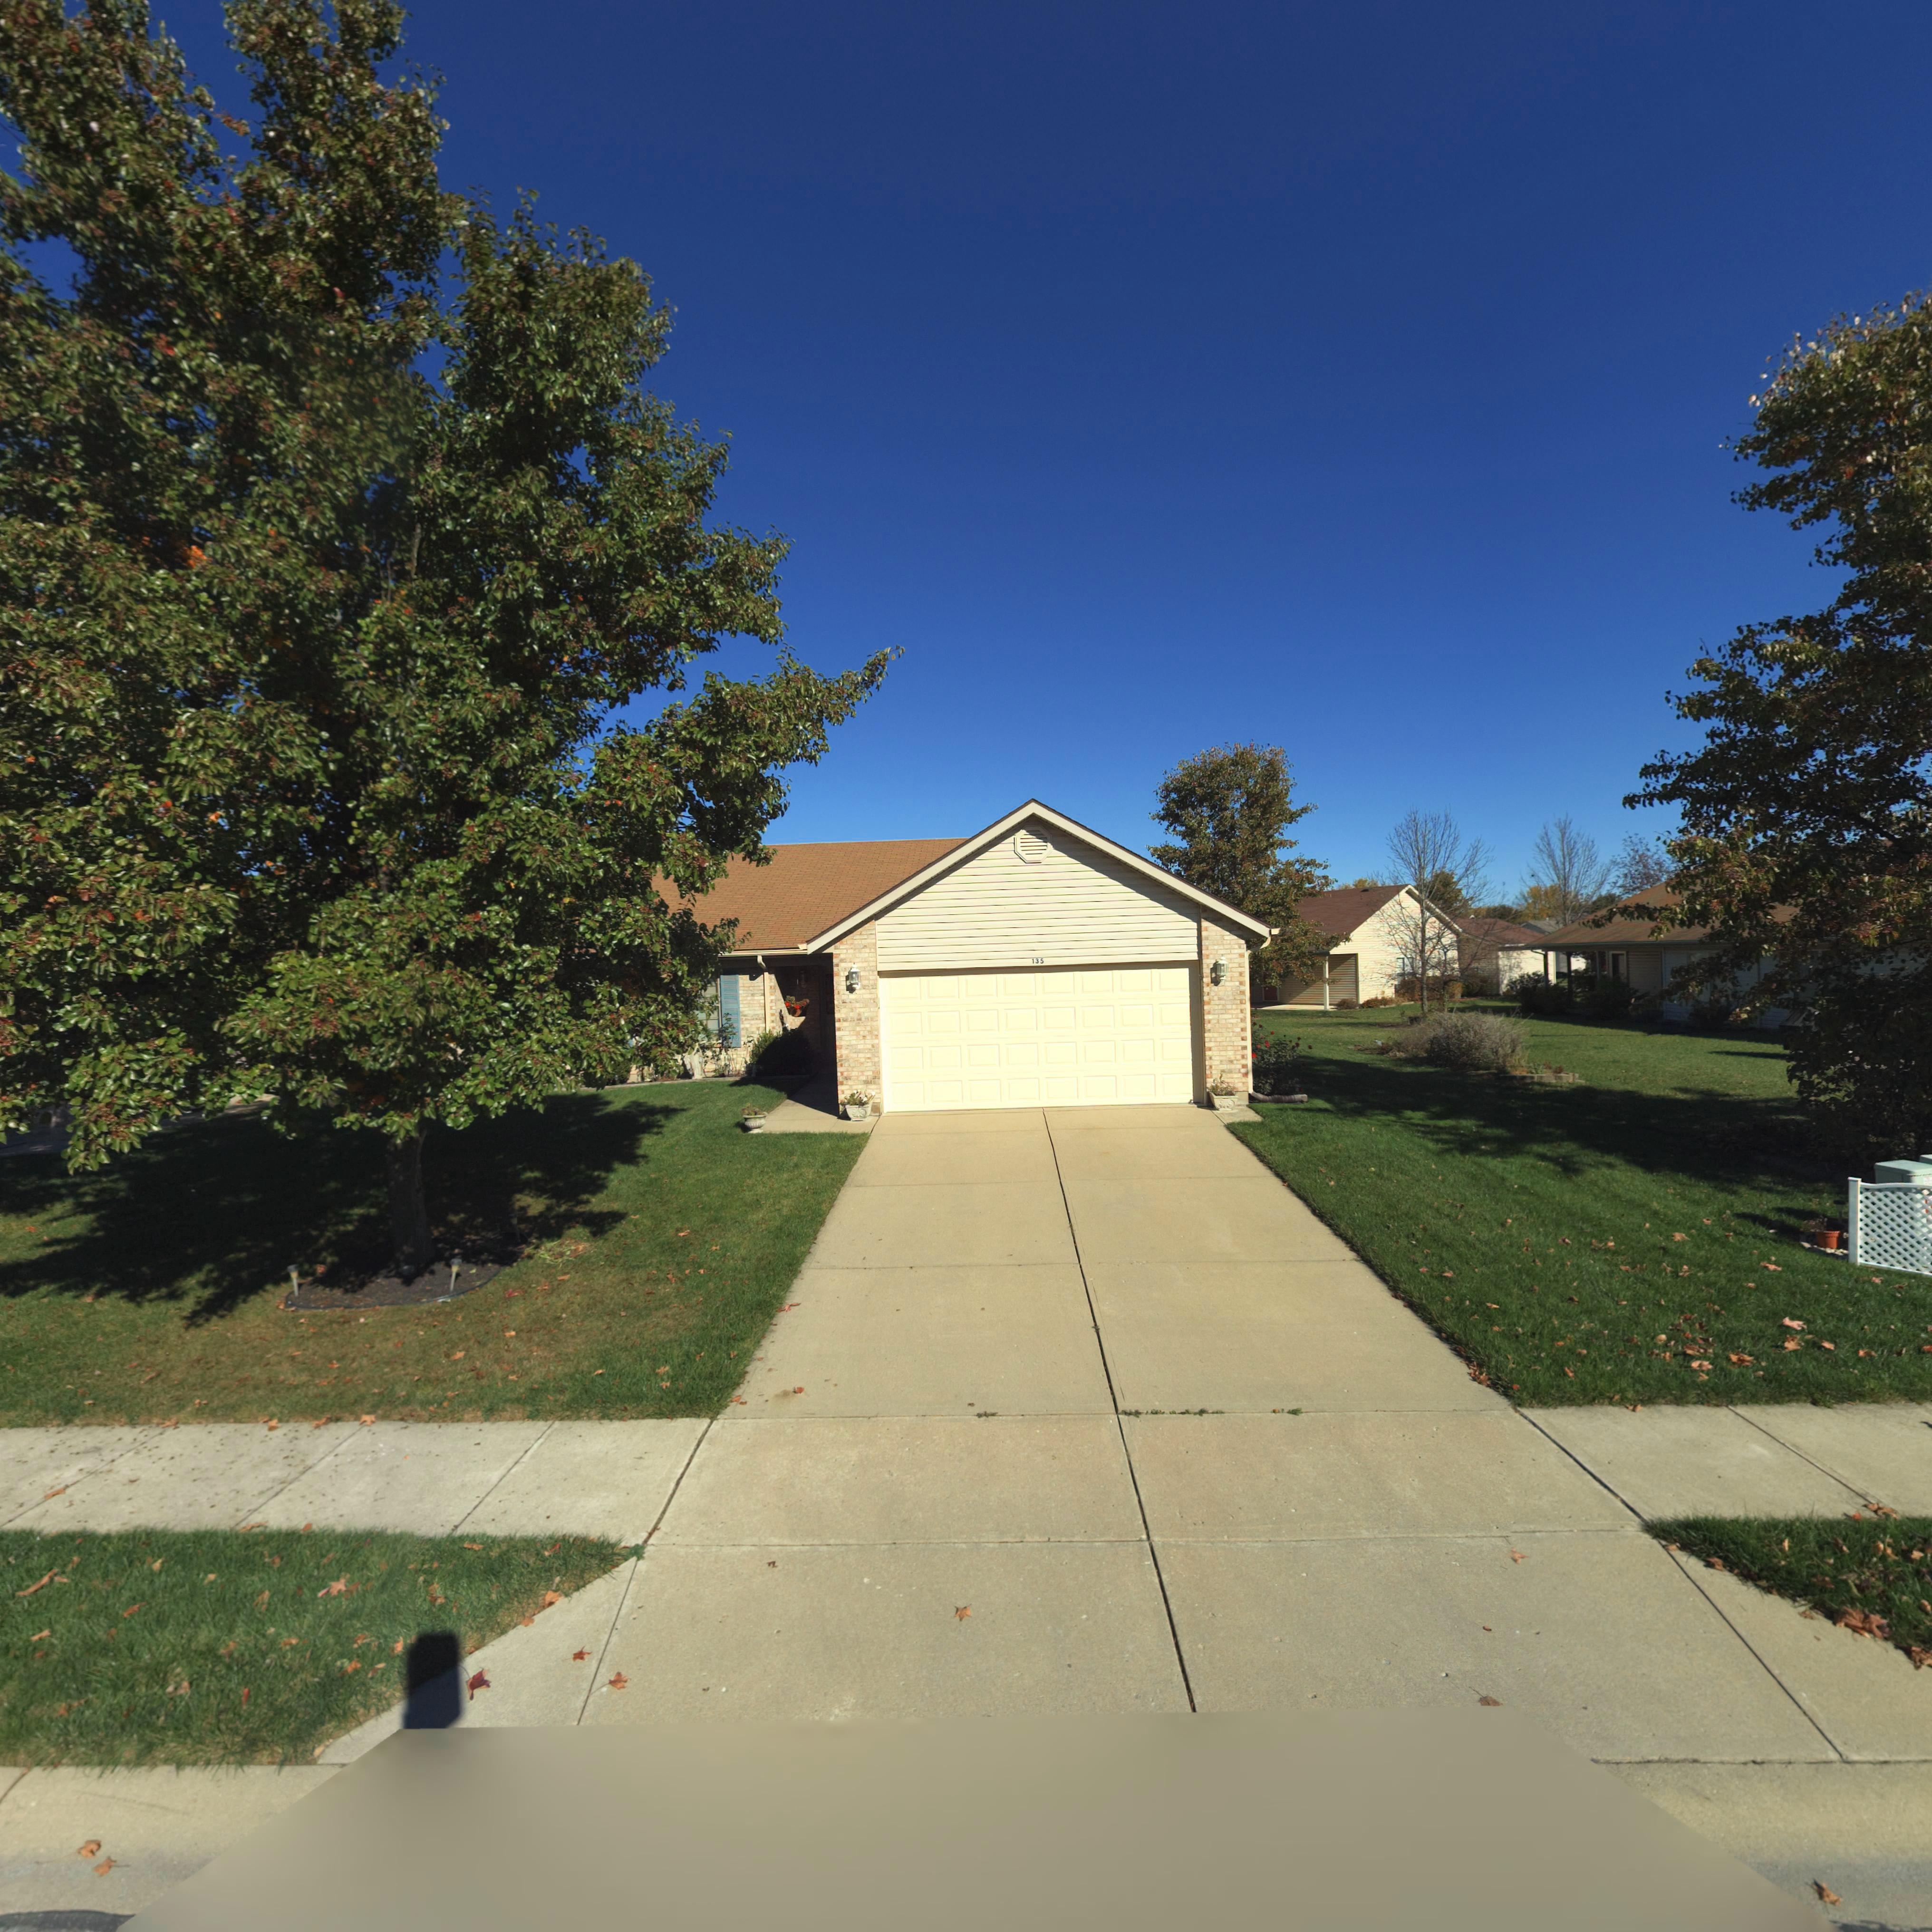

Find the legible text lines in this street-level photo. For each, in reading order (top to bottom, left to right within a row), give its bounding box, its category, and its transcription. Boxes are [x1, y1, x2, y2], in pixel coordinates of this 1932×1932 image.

[1031, 957, 1044, 964] StreetNumber: 135